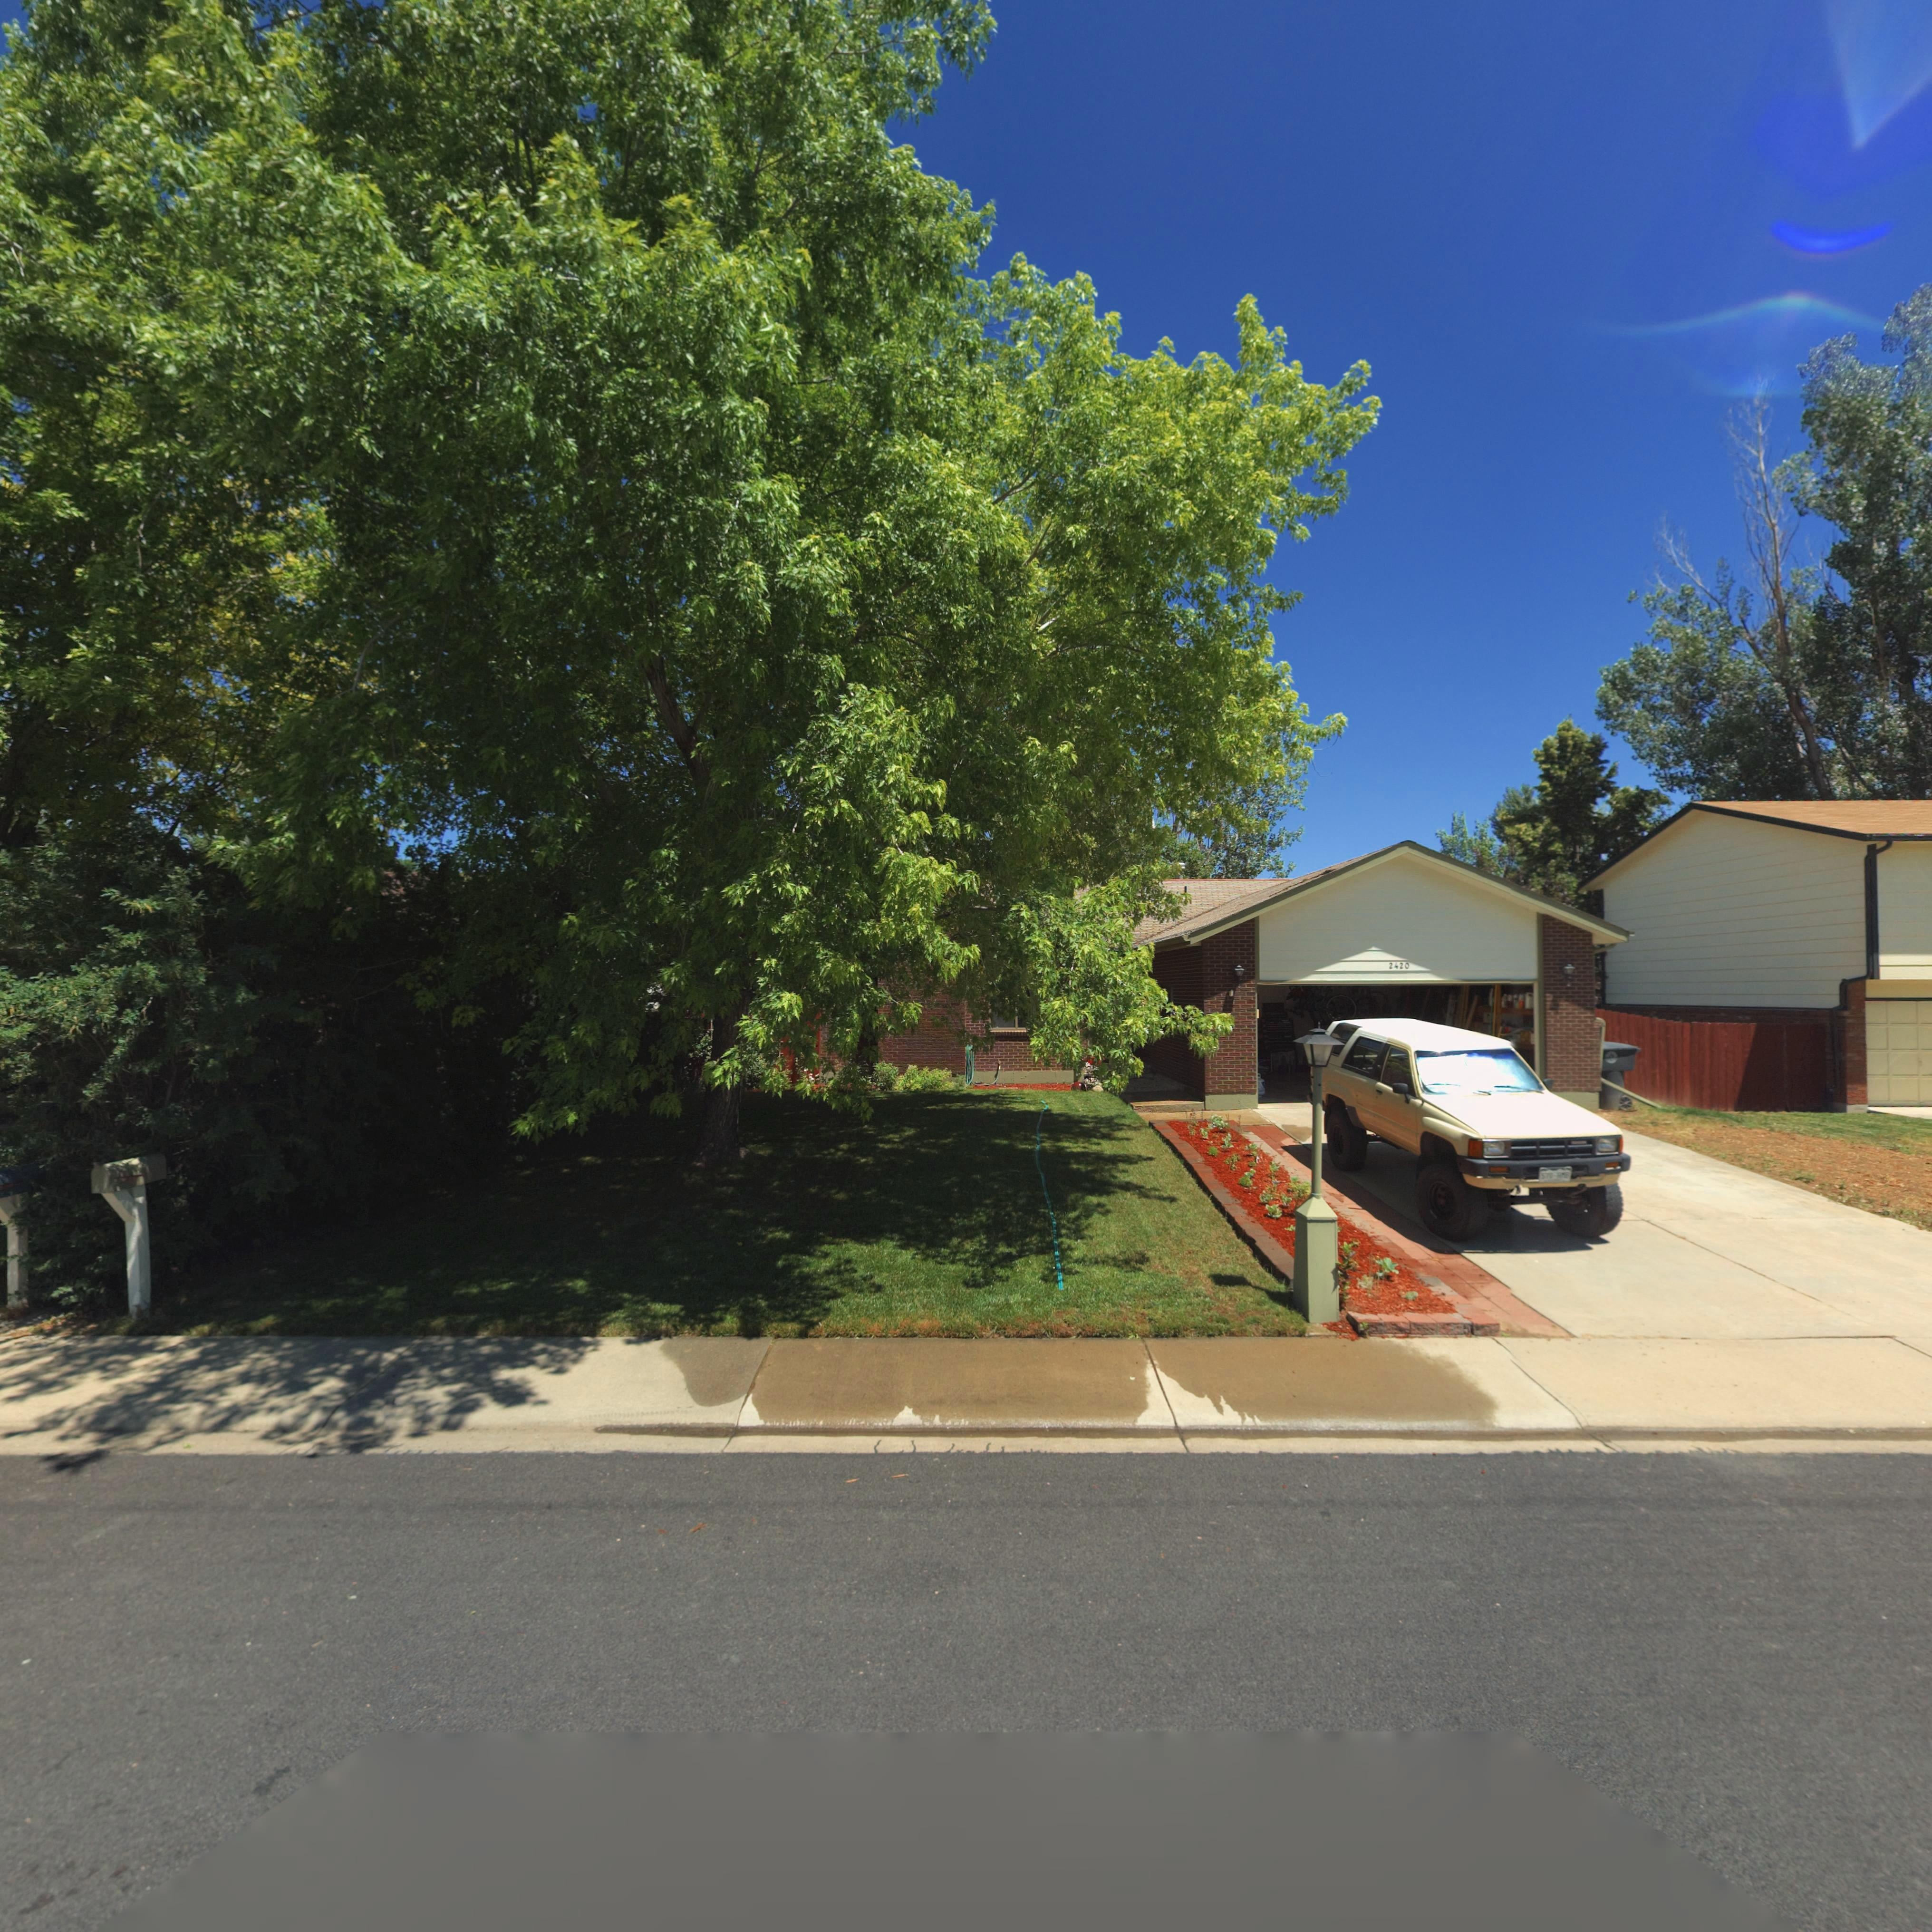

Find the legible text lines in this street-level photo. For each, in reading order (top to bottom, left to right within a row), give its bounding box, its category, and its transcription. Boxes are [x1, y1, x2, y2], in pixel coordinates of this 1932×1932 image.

[1389, 962, 1410, 969] StreetNumber: 2420